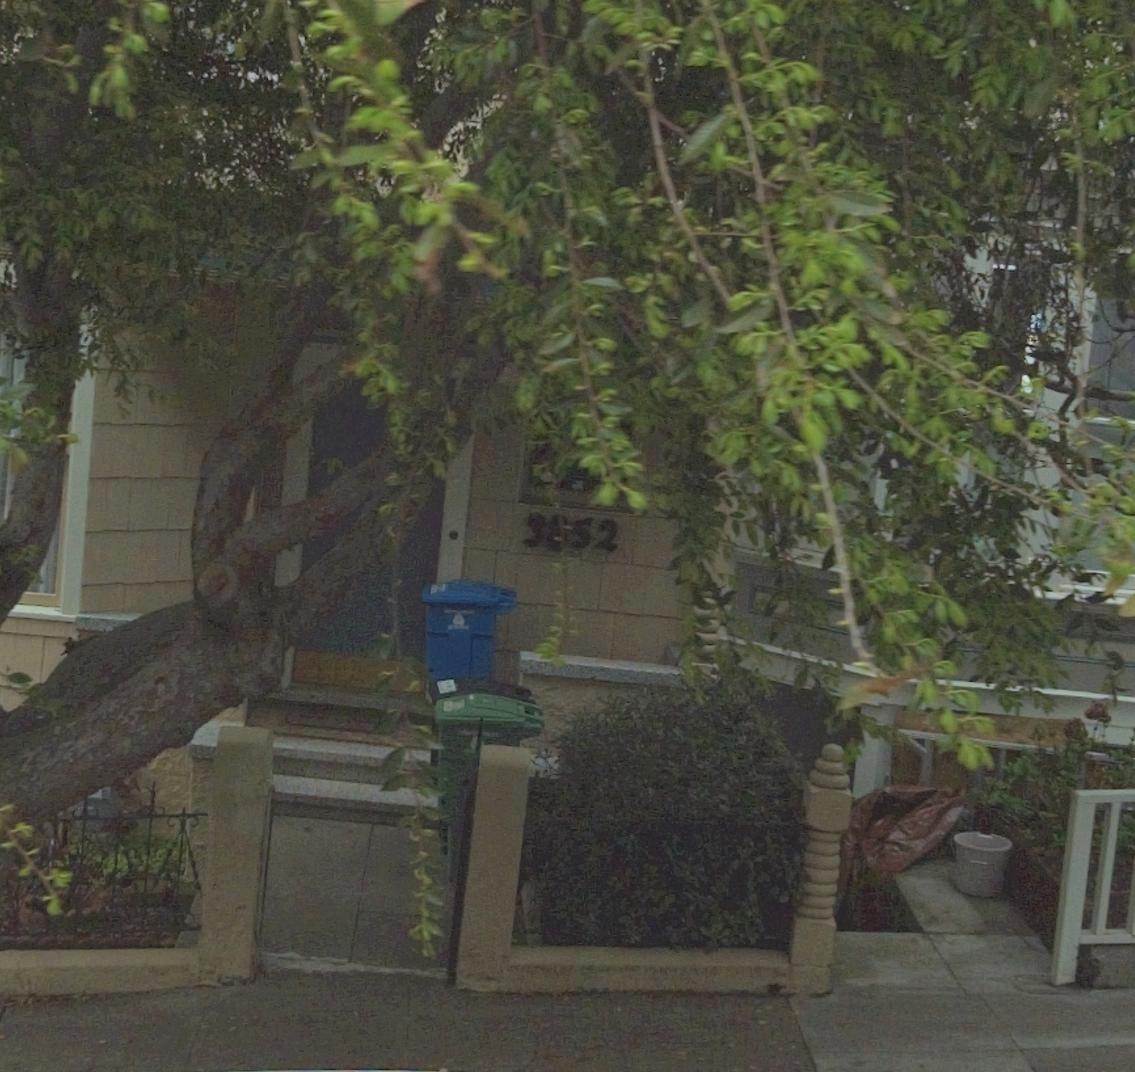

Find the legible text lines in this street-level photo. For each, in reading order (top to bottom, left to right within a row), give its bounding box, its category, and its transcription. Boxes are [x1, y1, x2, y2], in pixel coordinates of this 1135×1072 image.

[519, 510, 626, 553] StreetNumber: 3852